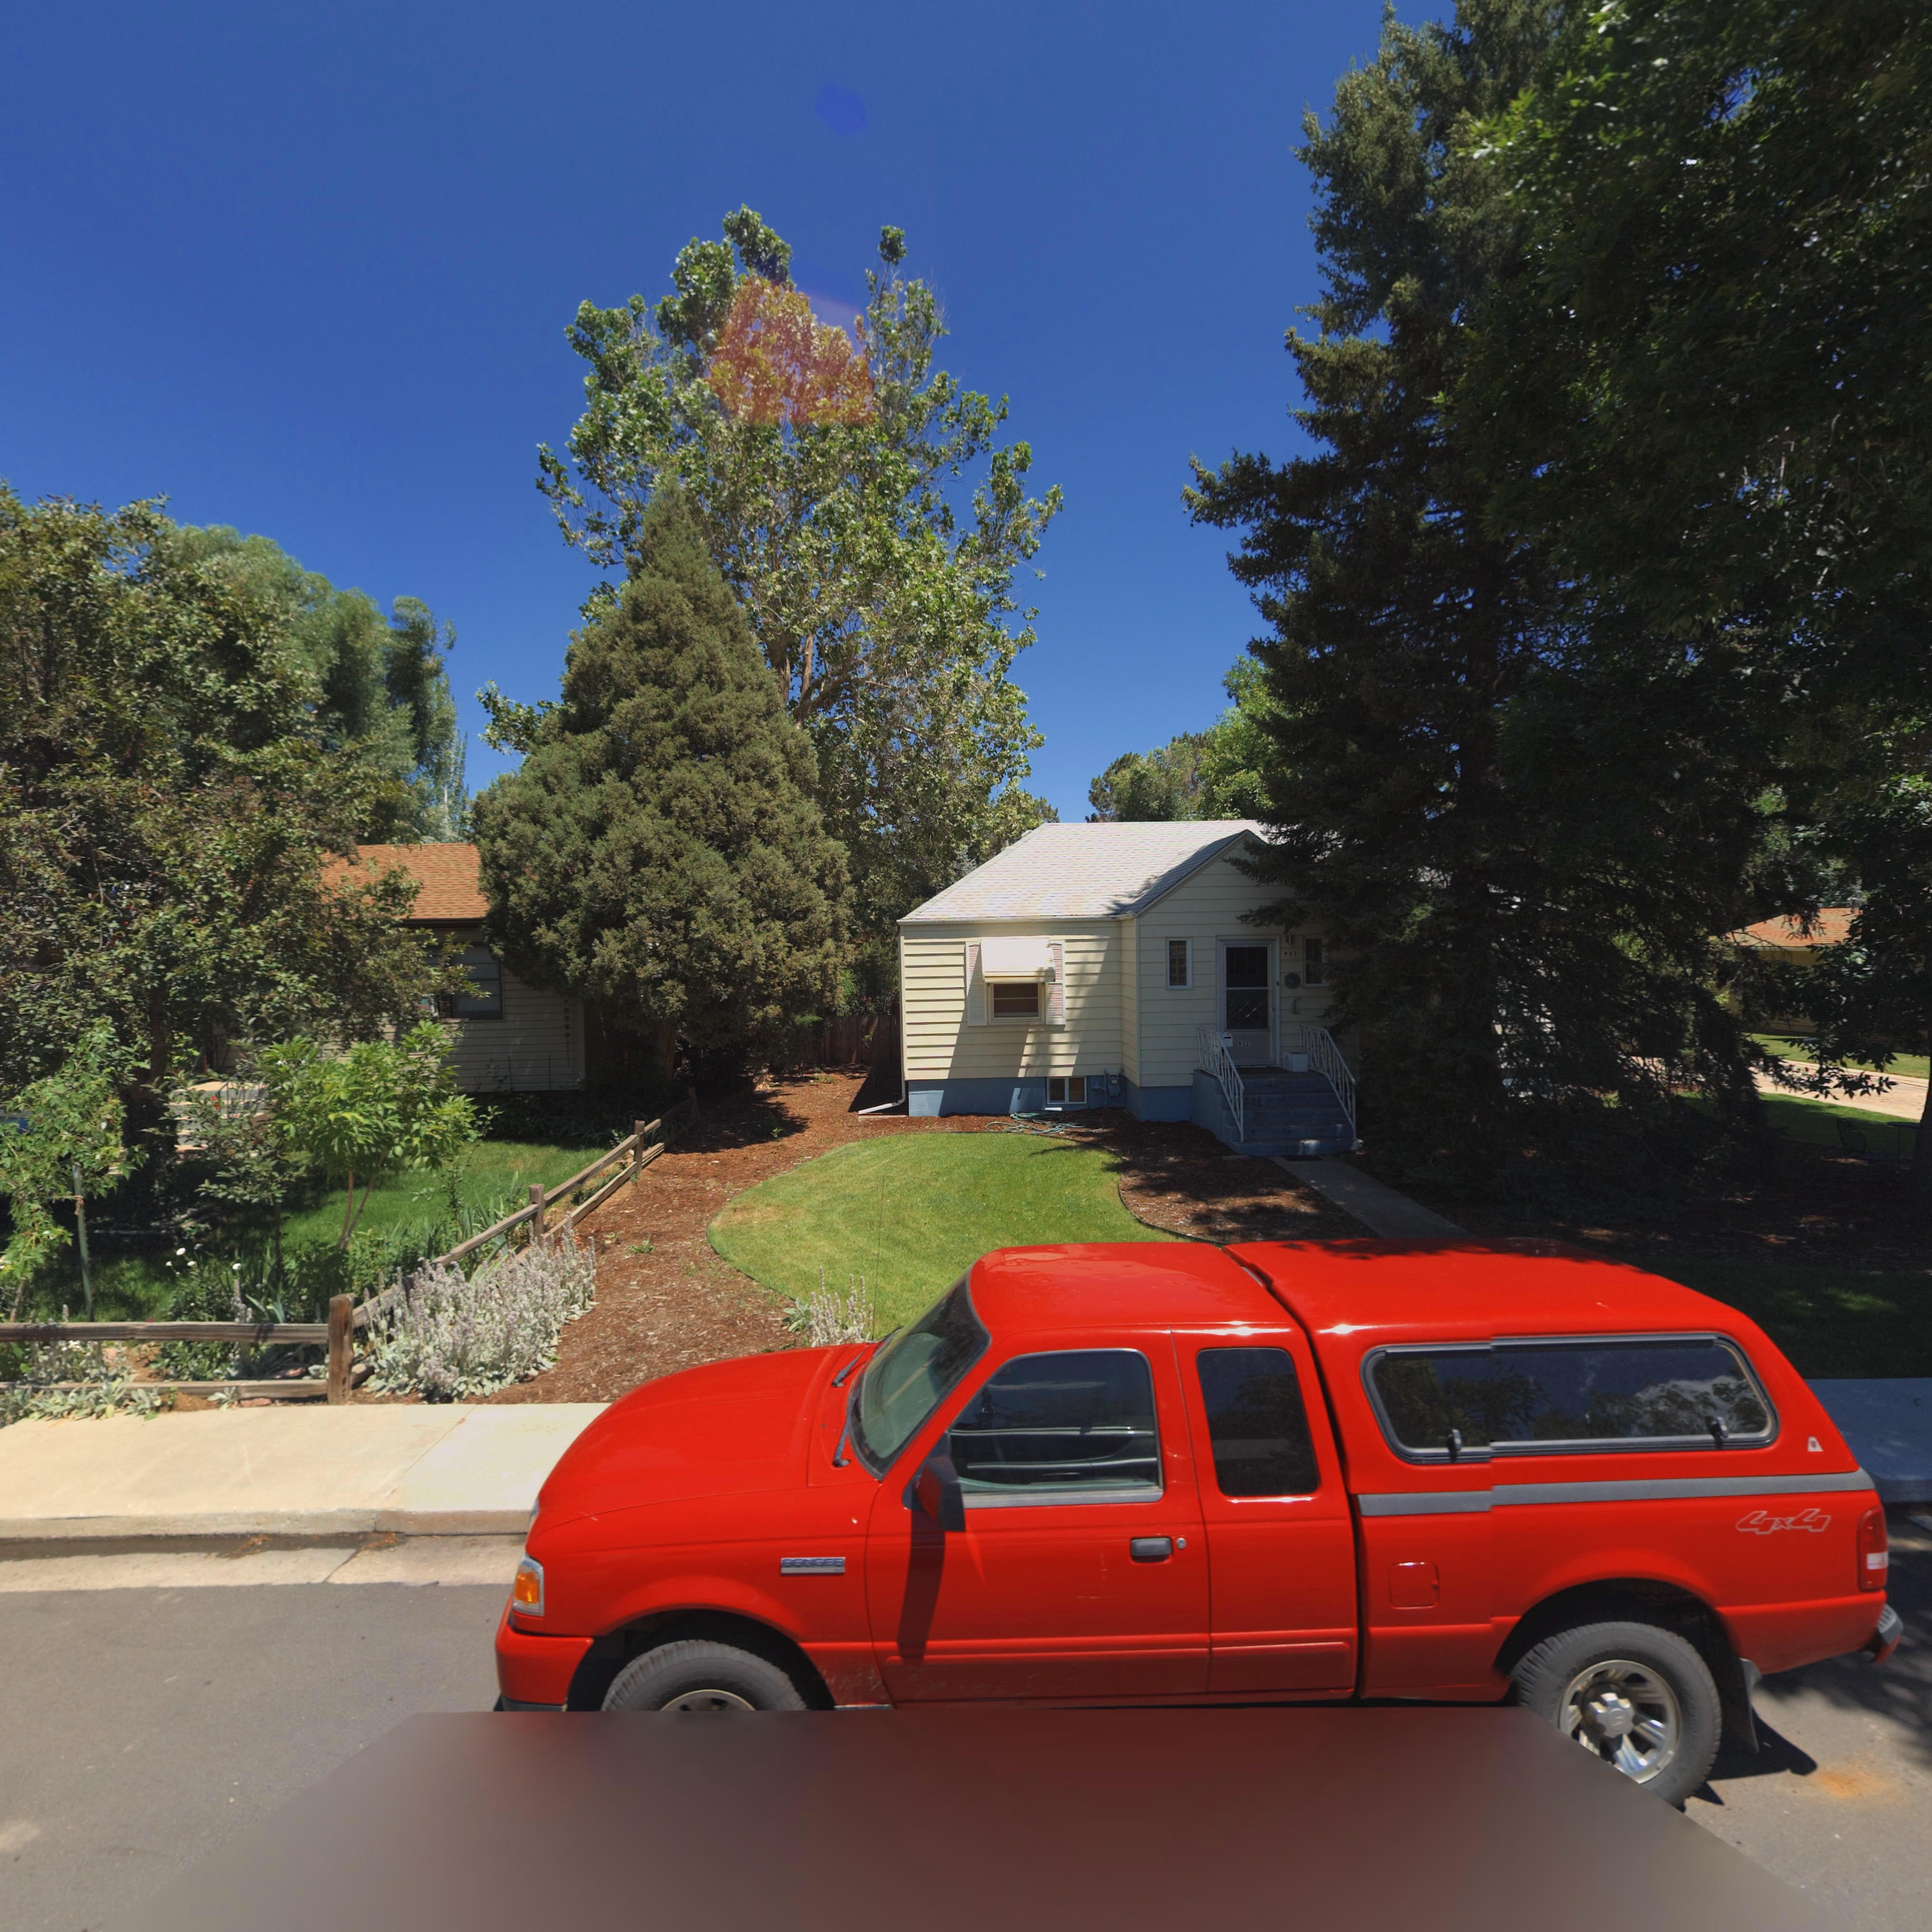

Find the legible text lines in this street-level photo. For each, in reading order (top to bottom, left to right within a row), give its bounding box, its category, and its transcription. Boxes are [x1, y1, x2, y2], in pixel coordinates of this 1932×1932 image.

[1284, 951, 1297, 956] StreetNumber: *22
[1238, 1041, 1249, 1046] StreetNumber: 922